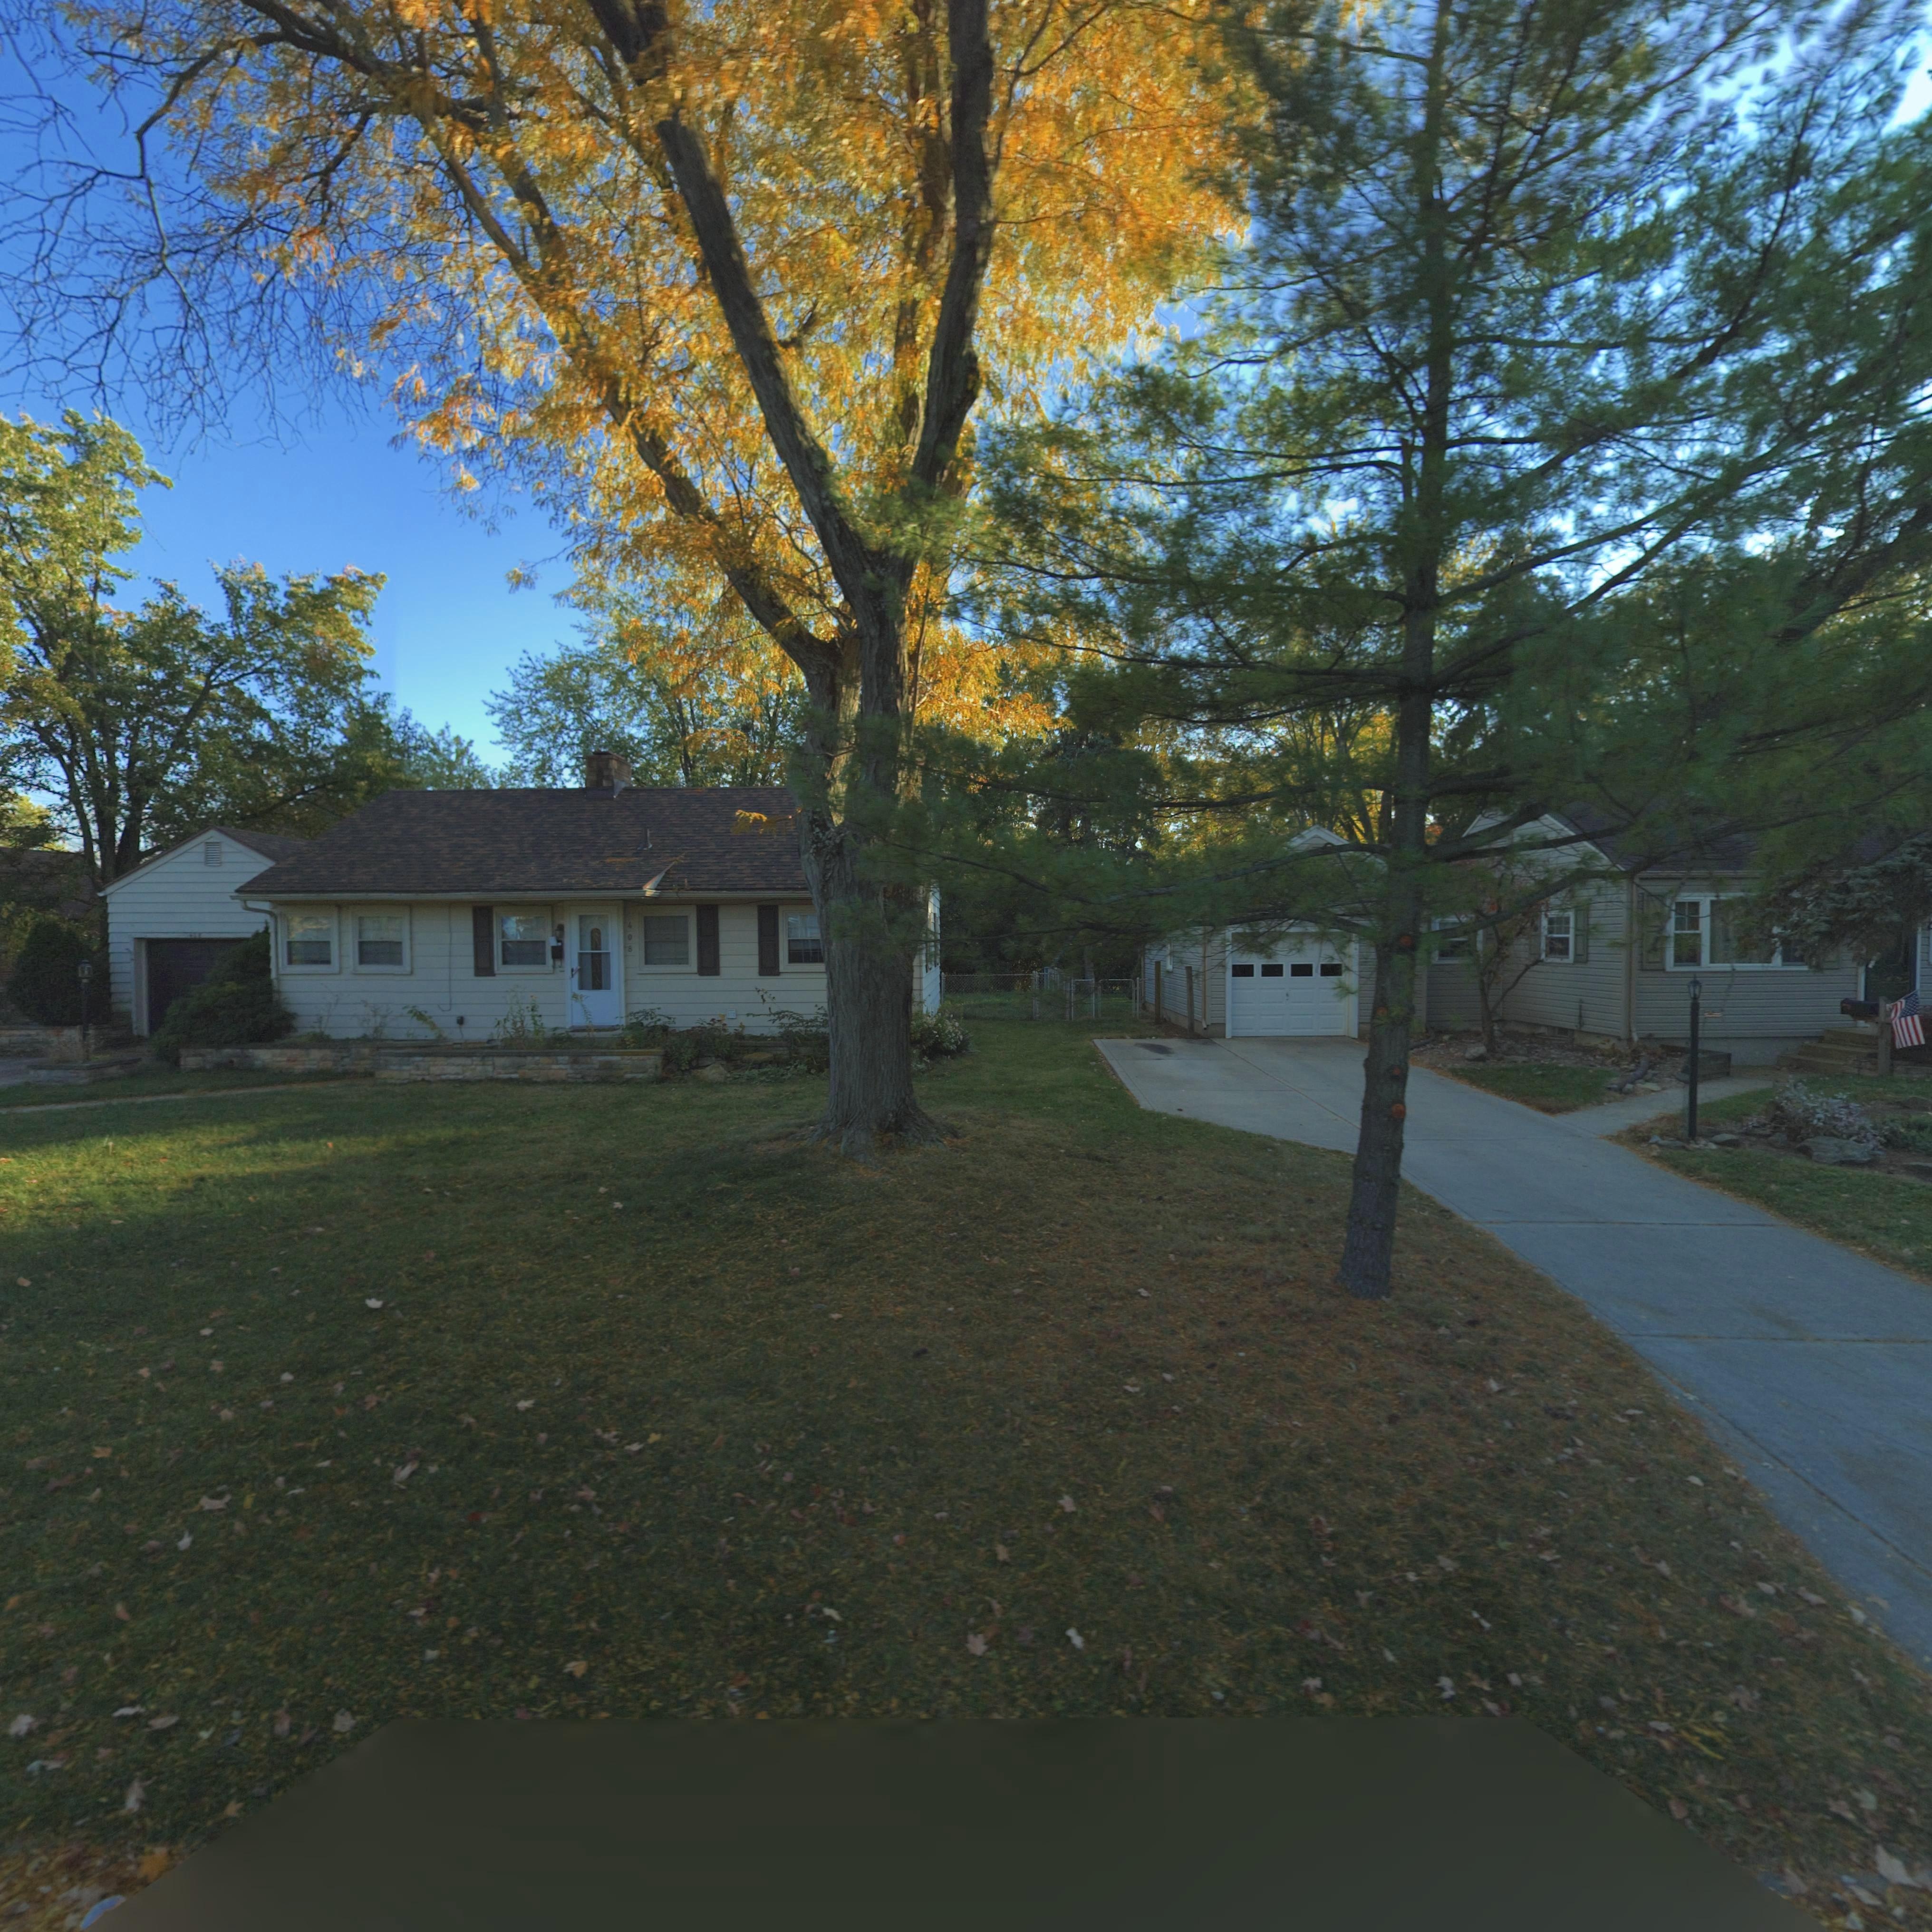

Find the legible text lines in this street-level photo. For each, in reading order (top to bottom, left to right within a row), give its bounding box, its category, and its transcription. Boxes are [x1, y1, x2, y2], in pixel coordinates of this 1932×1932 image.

[188, 932, 202, 937] StreetNumber: 4**
[627, 921, 633, 952] StreetNumber: 408
[1353, 932, 1358, 951] StreetNumber: **4